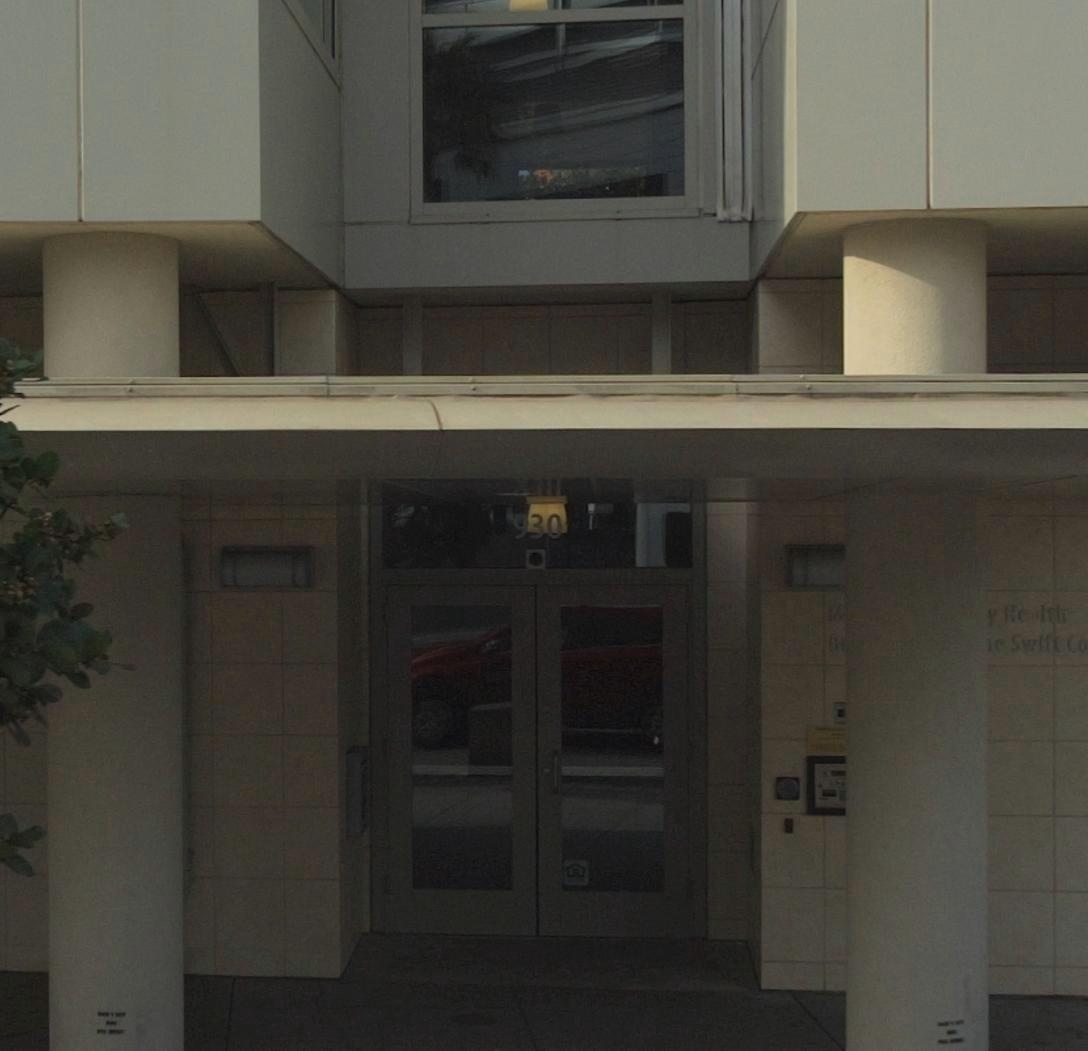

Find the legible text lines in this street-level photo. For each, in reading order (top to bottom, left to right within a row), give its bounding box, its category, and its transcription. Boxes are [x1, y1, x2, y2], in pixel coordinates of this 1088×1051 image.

[510, 511, 565, 543] StreetNumber: 930
[984, 601, 1021, 632] None: y H
[1008, 631, 1088, 655] None: Swi** Co